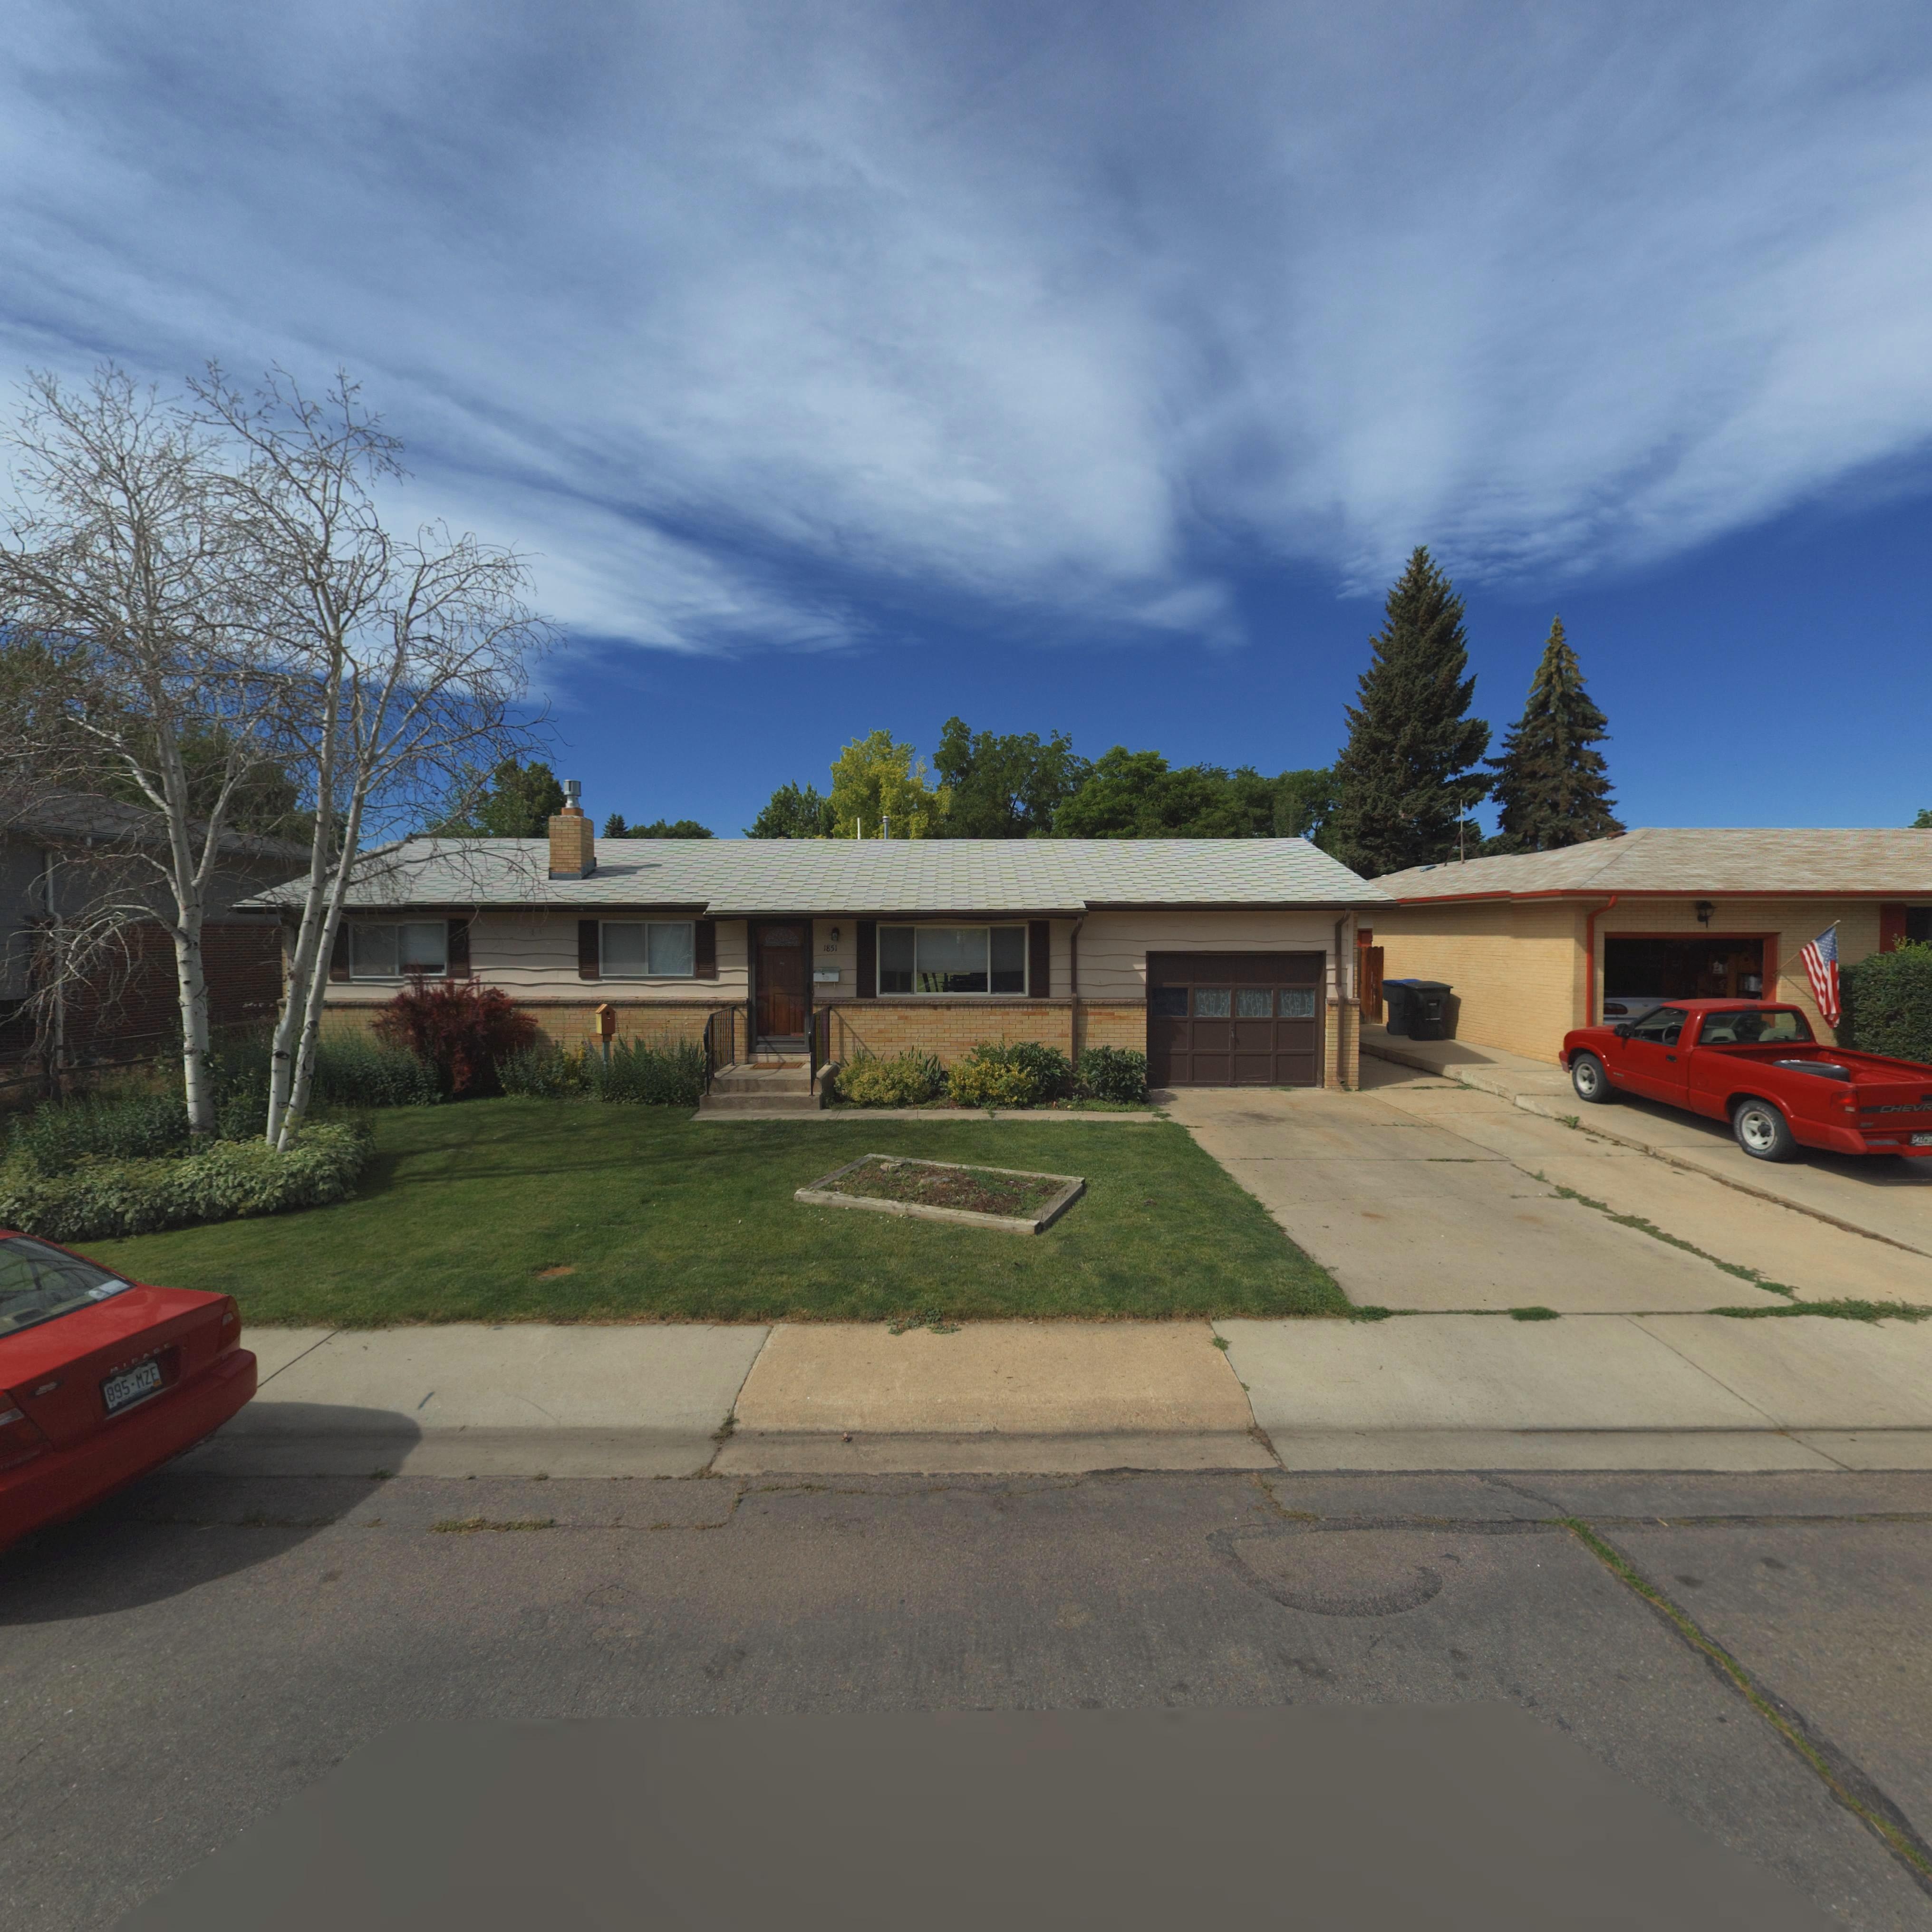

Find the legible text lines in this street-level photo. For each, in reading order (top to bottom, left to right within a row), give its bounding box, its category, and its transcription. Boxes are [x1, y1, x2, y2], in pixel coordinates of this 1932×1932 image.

[823, 944, 837, 952] StreetNumber: 1851